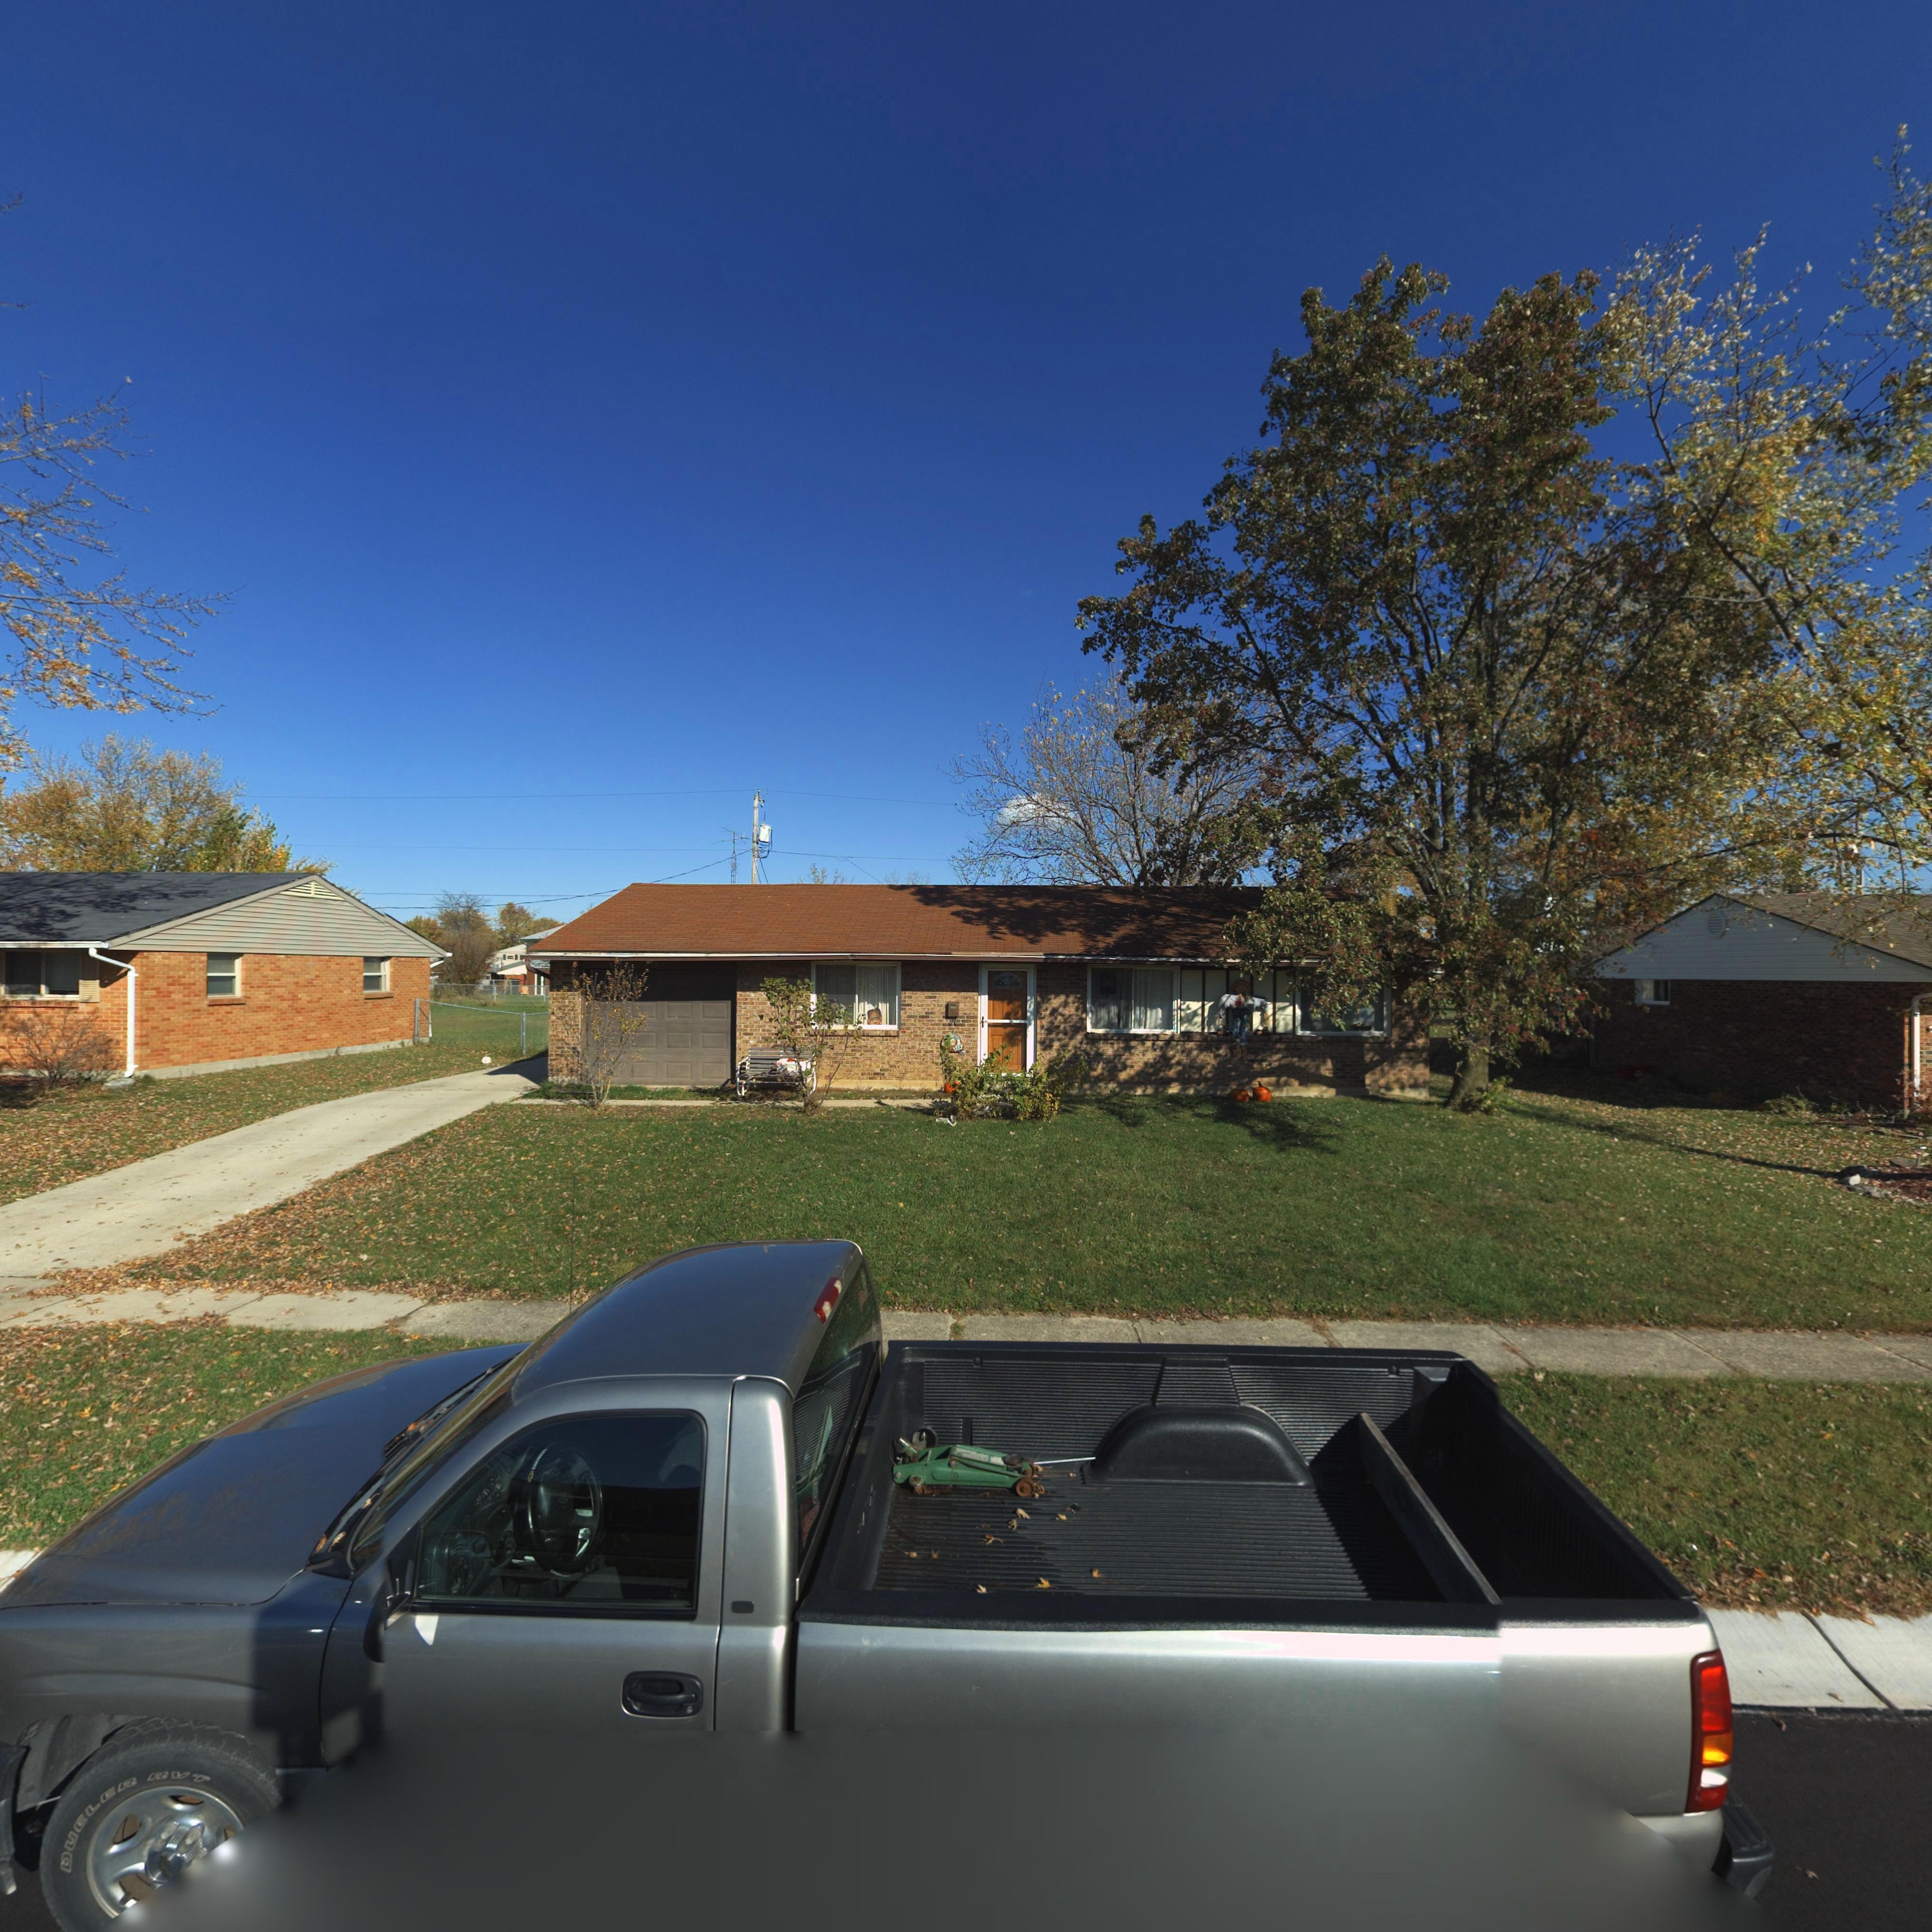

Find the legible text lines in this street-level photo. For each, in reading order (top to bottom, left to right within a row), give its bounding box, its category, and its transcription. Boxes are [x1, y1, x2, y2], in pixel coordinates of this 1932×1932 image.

[655, 961, 659, 967] StreetNumber: 6